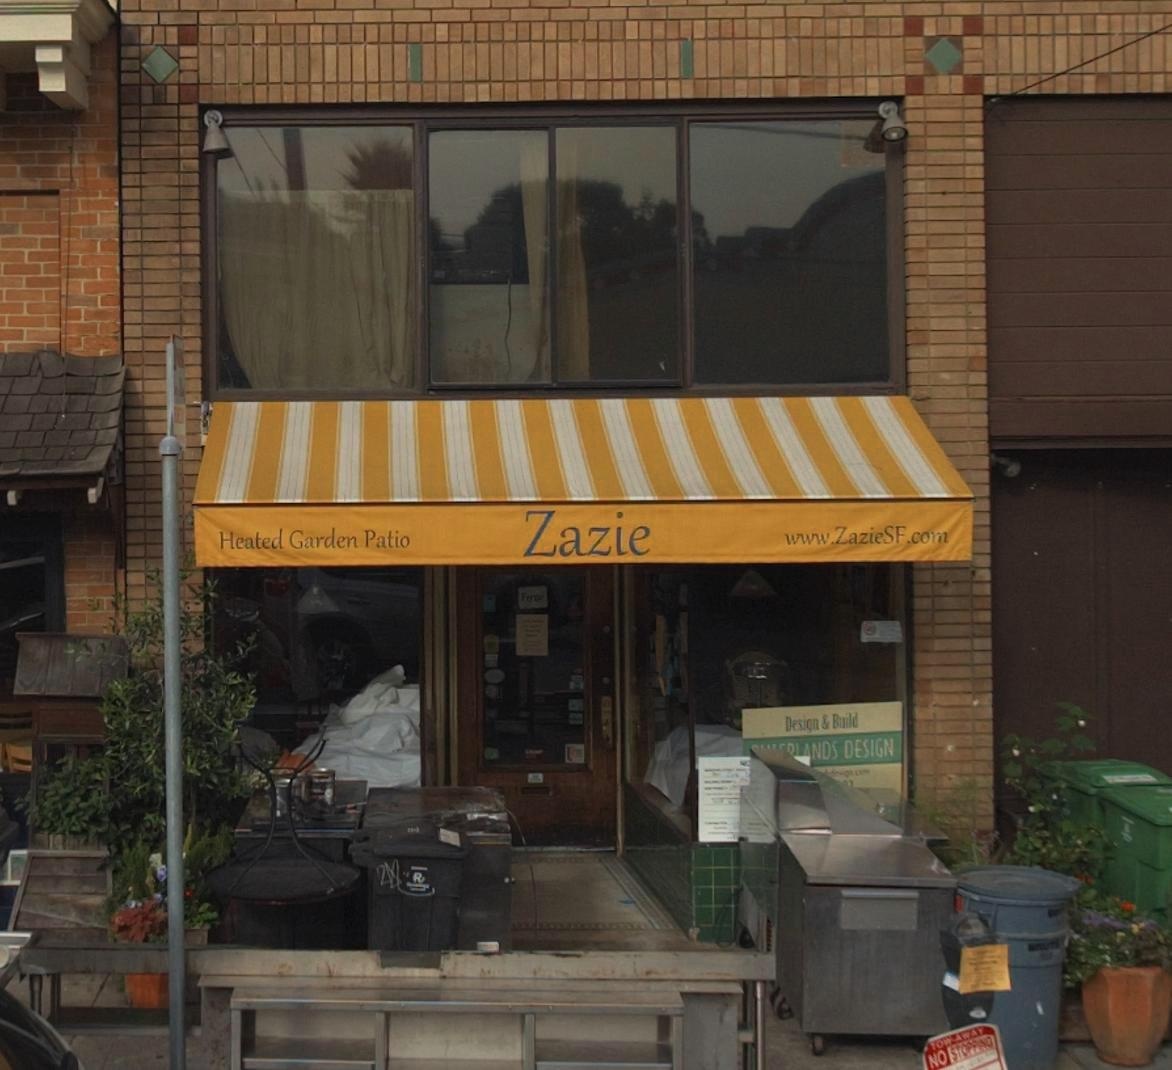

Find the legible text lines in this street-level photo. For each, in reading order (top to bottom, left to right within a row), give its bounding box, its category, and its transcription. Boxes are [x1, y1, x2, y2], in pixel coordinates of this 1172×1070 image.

[219, 526, 410, 550] None: Heated Garden Patio
[522, 508, 652, 558] BusinessName: Zazie
[782, 524, 950, 546] None: www.ZazieSF.com
[781, 711, 858, 733] None: Design & Build
[810, 737, 895, 762] None: NDS DESIGN
[929, 1025, 985, 1053] None: TOW-AWAY
[926, 1033, 996, 1070] None: NOSTOPPING